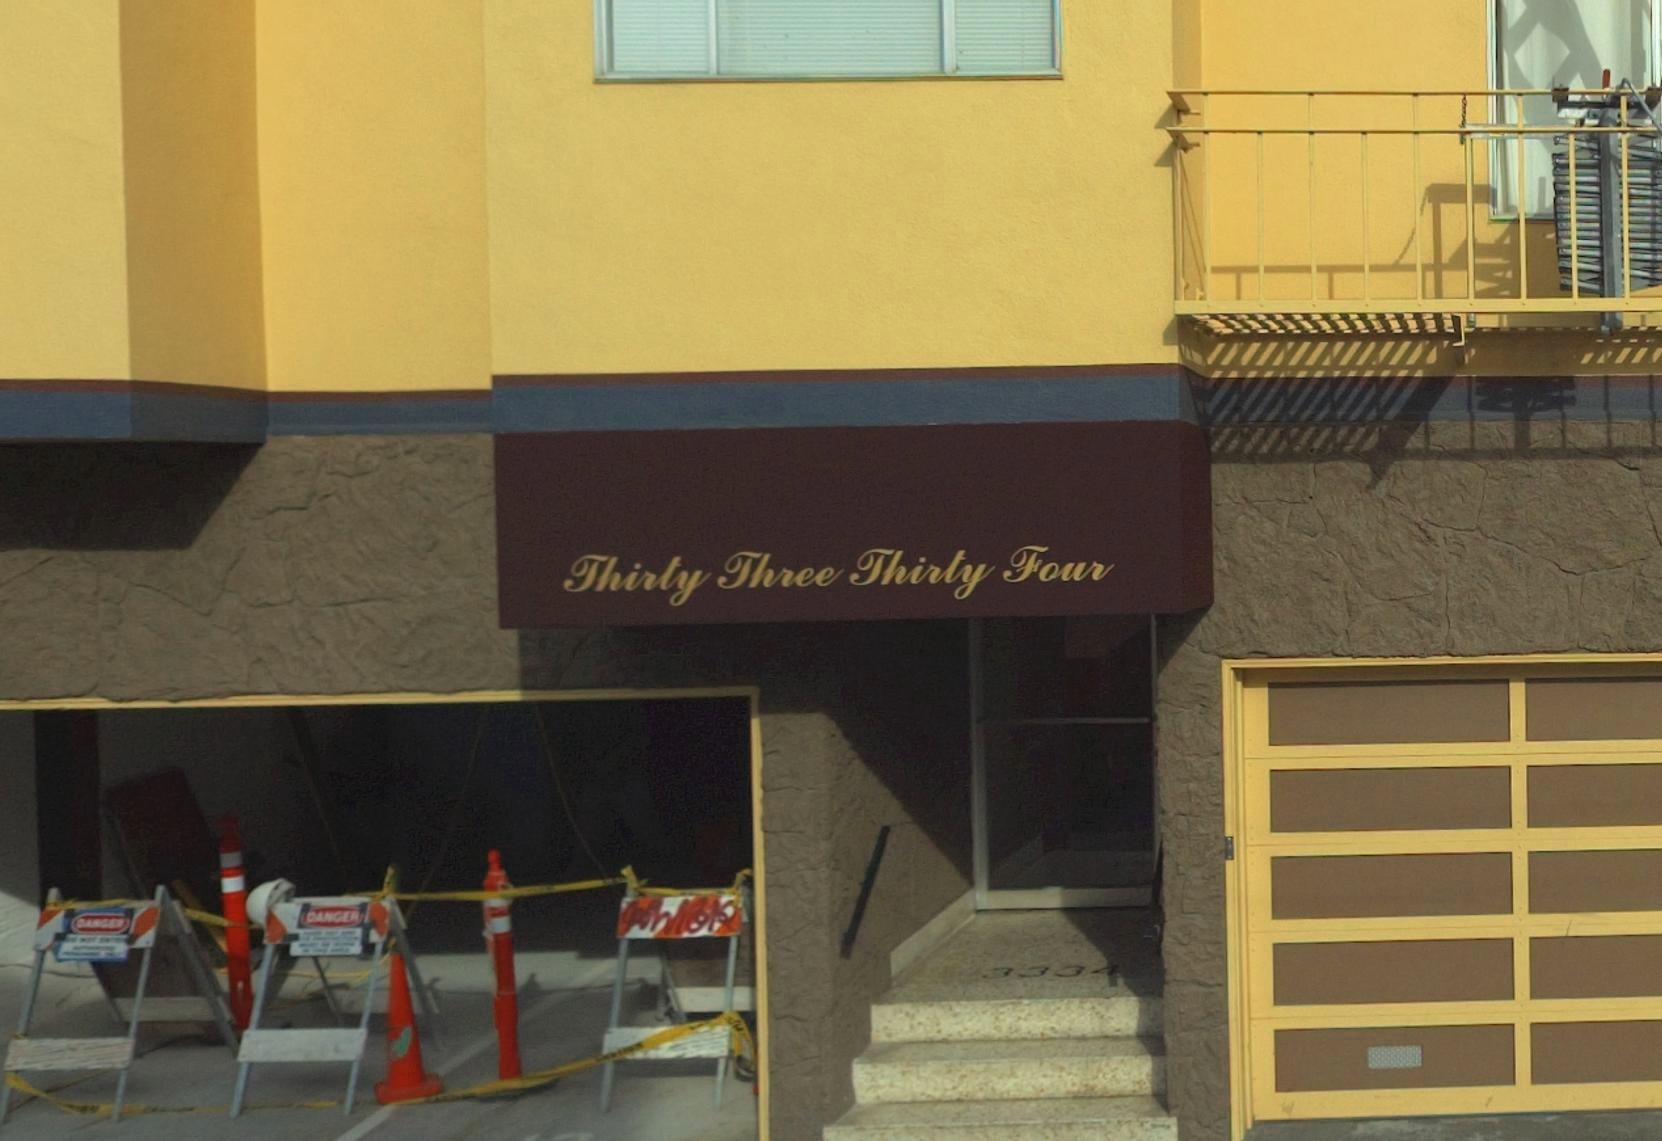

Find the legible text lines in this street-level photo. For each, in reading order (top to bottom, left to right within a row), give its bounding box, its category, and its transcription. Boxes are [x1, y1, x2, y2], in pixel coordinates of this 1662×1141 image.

[551, 543, 1124, 612] StreetNumber: Thirty Three Thirty Four
[977, 960, 1125, 984] StreetNumber: 3334